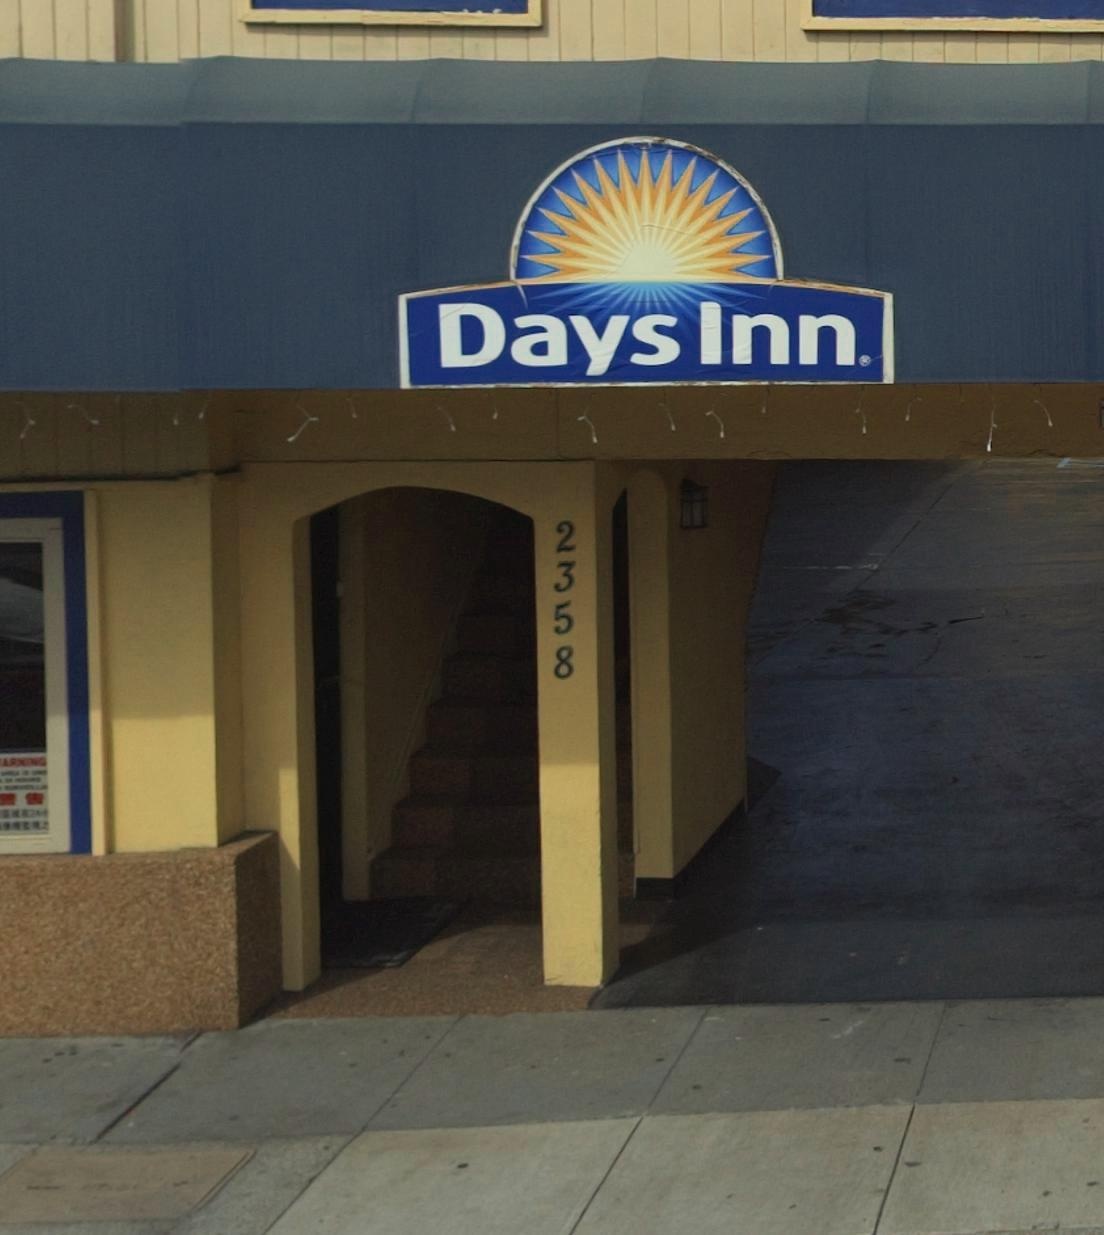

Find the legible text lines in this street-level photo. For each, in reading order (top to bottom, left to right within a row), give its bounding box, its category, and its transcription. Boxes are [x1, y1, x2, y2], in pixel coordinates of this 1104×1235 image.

[438, 300, 857, 376] BusinessName: Days Inn
[552, 519, 577, 681] StreetNumber: 2358
[2, 757, 47, 768] None: ARNING